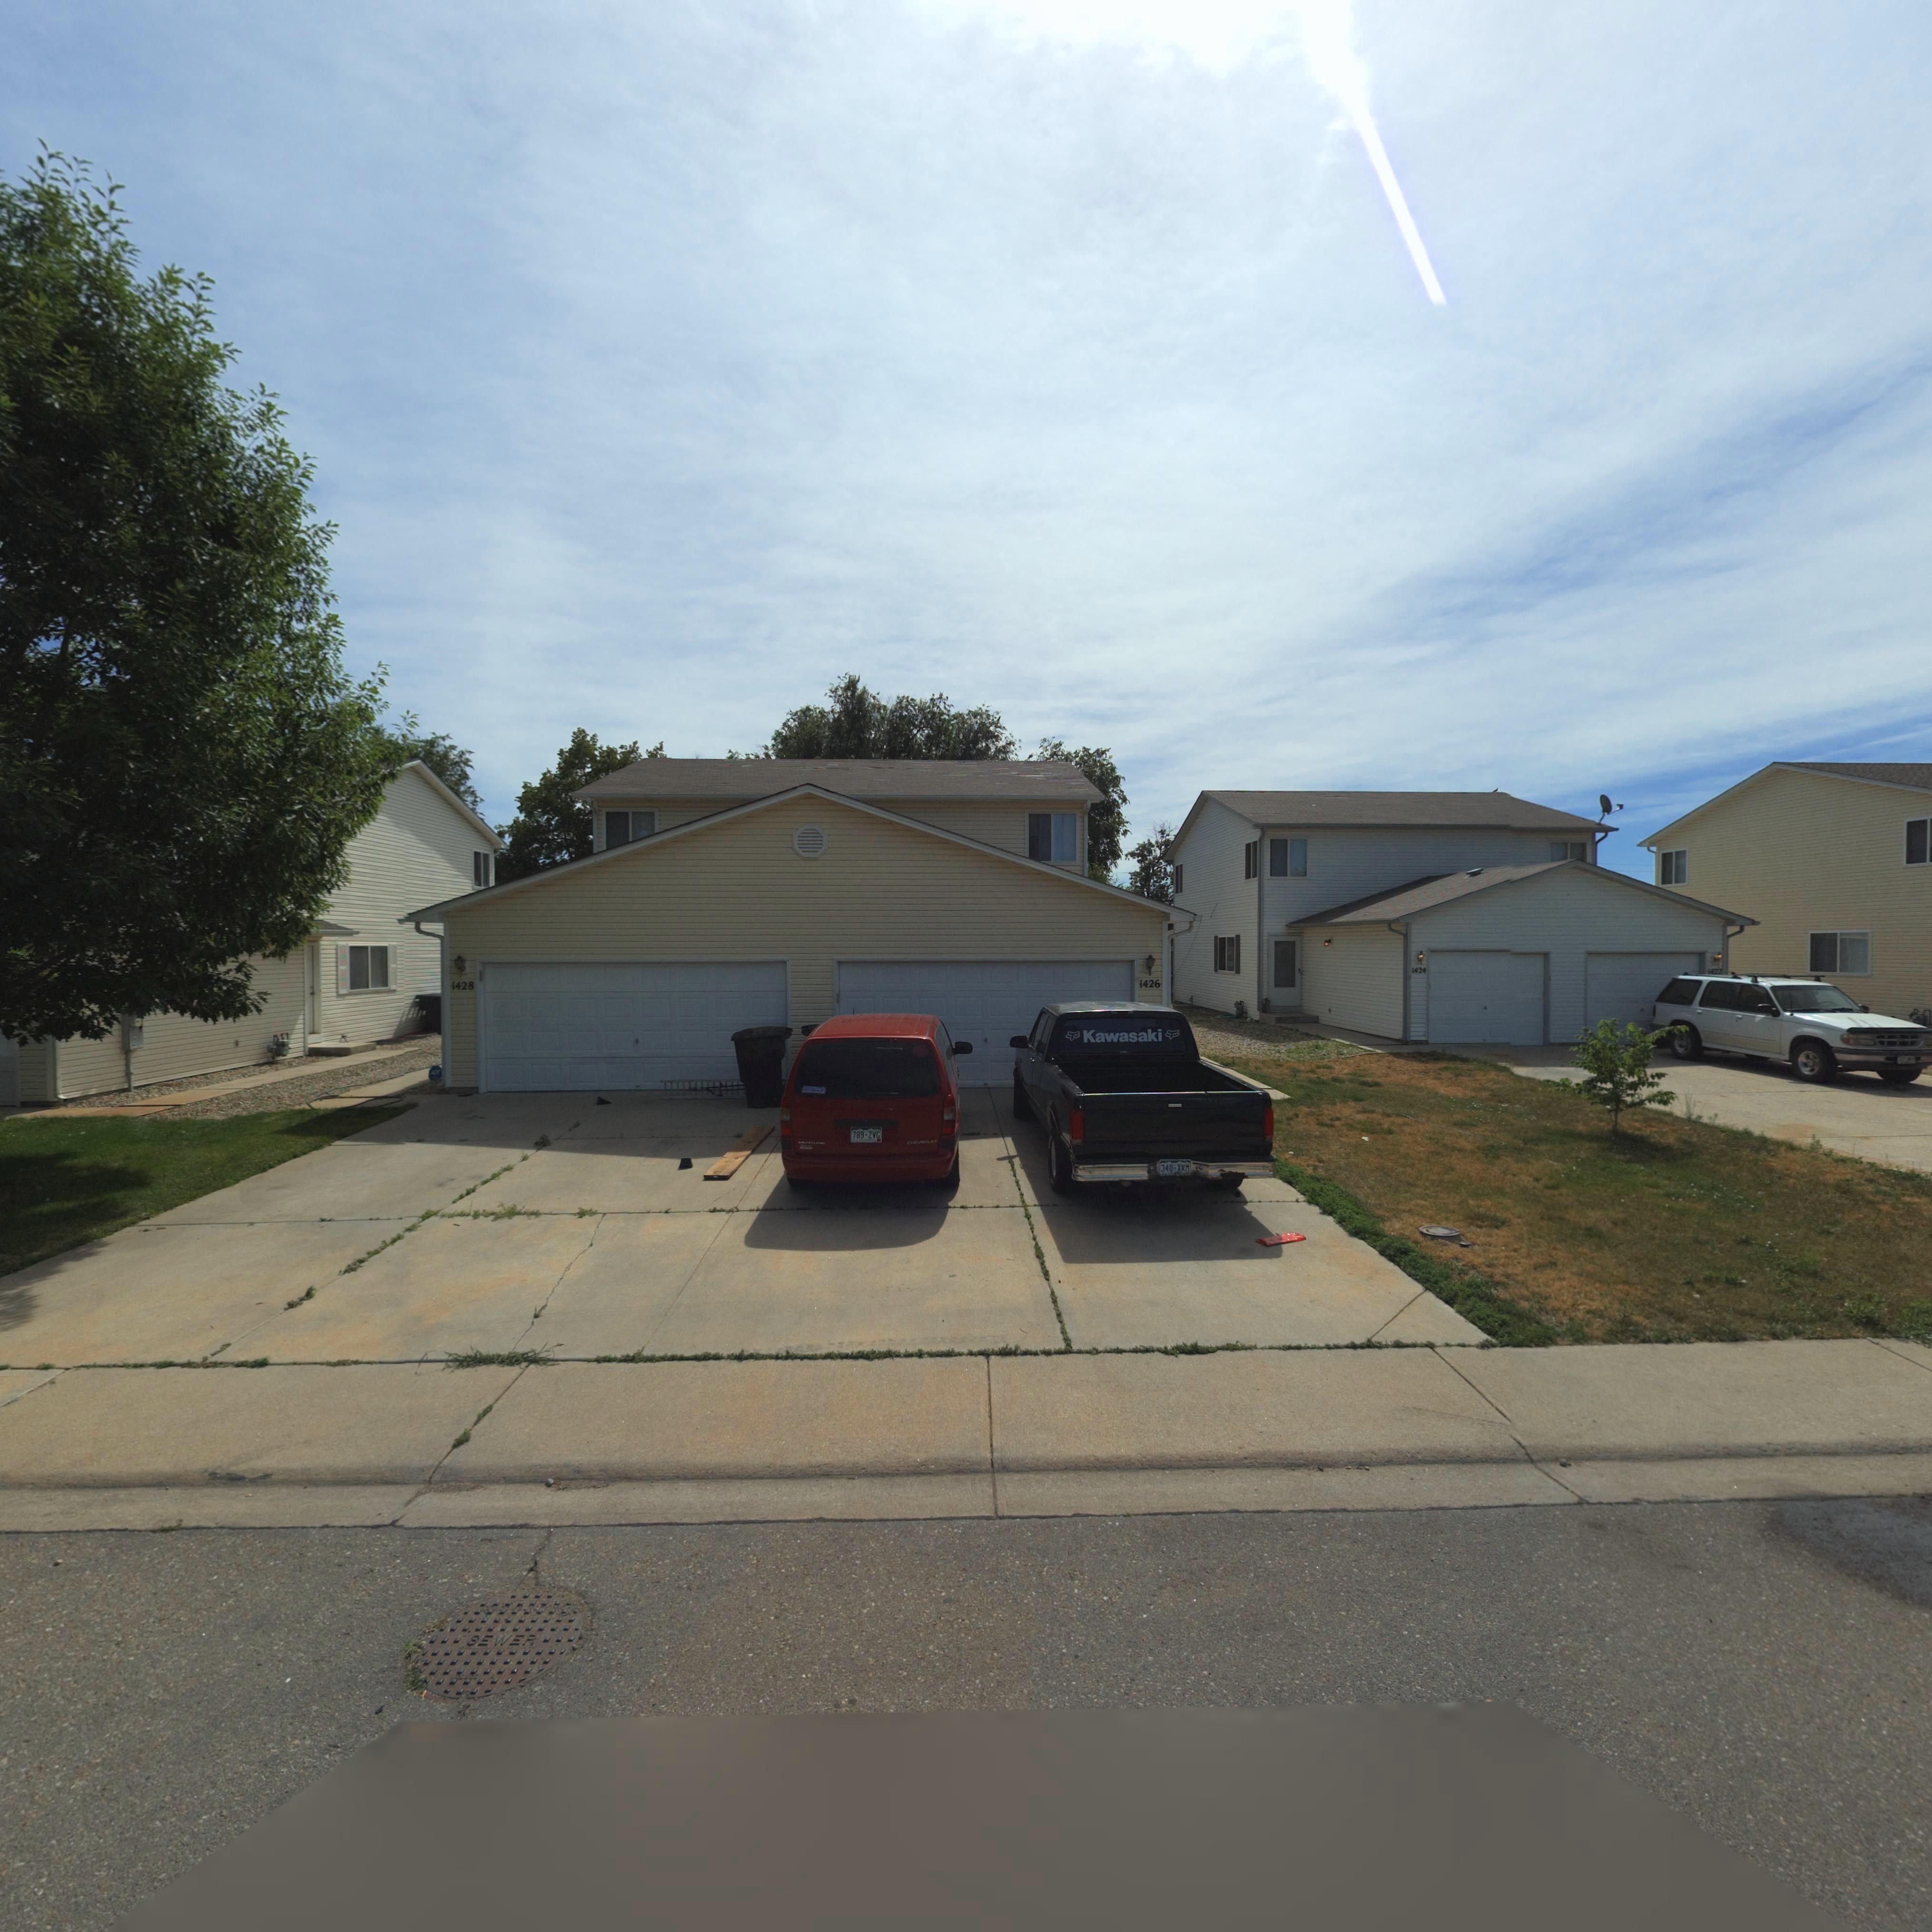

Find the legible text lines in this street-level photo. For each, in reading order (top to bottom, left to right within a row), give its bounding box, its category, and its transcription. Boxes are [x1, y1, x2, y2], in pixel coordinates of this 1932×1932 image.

[1412, 967, 1427, 974] StreetNumber: 1424
[1707, 968, 1723, 974] StreetNumber: 1422
[450, 981, 474, 990] StreetNumber: 1428
[1140, 979, 1161, 988] StreetNumber: 1426